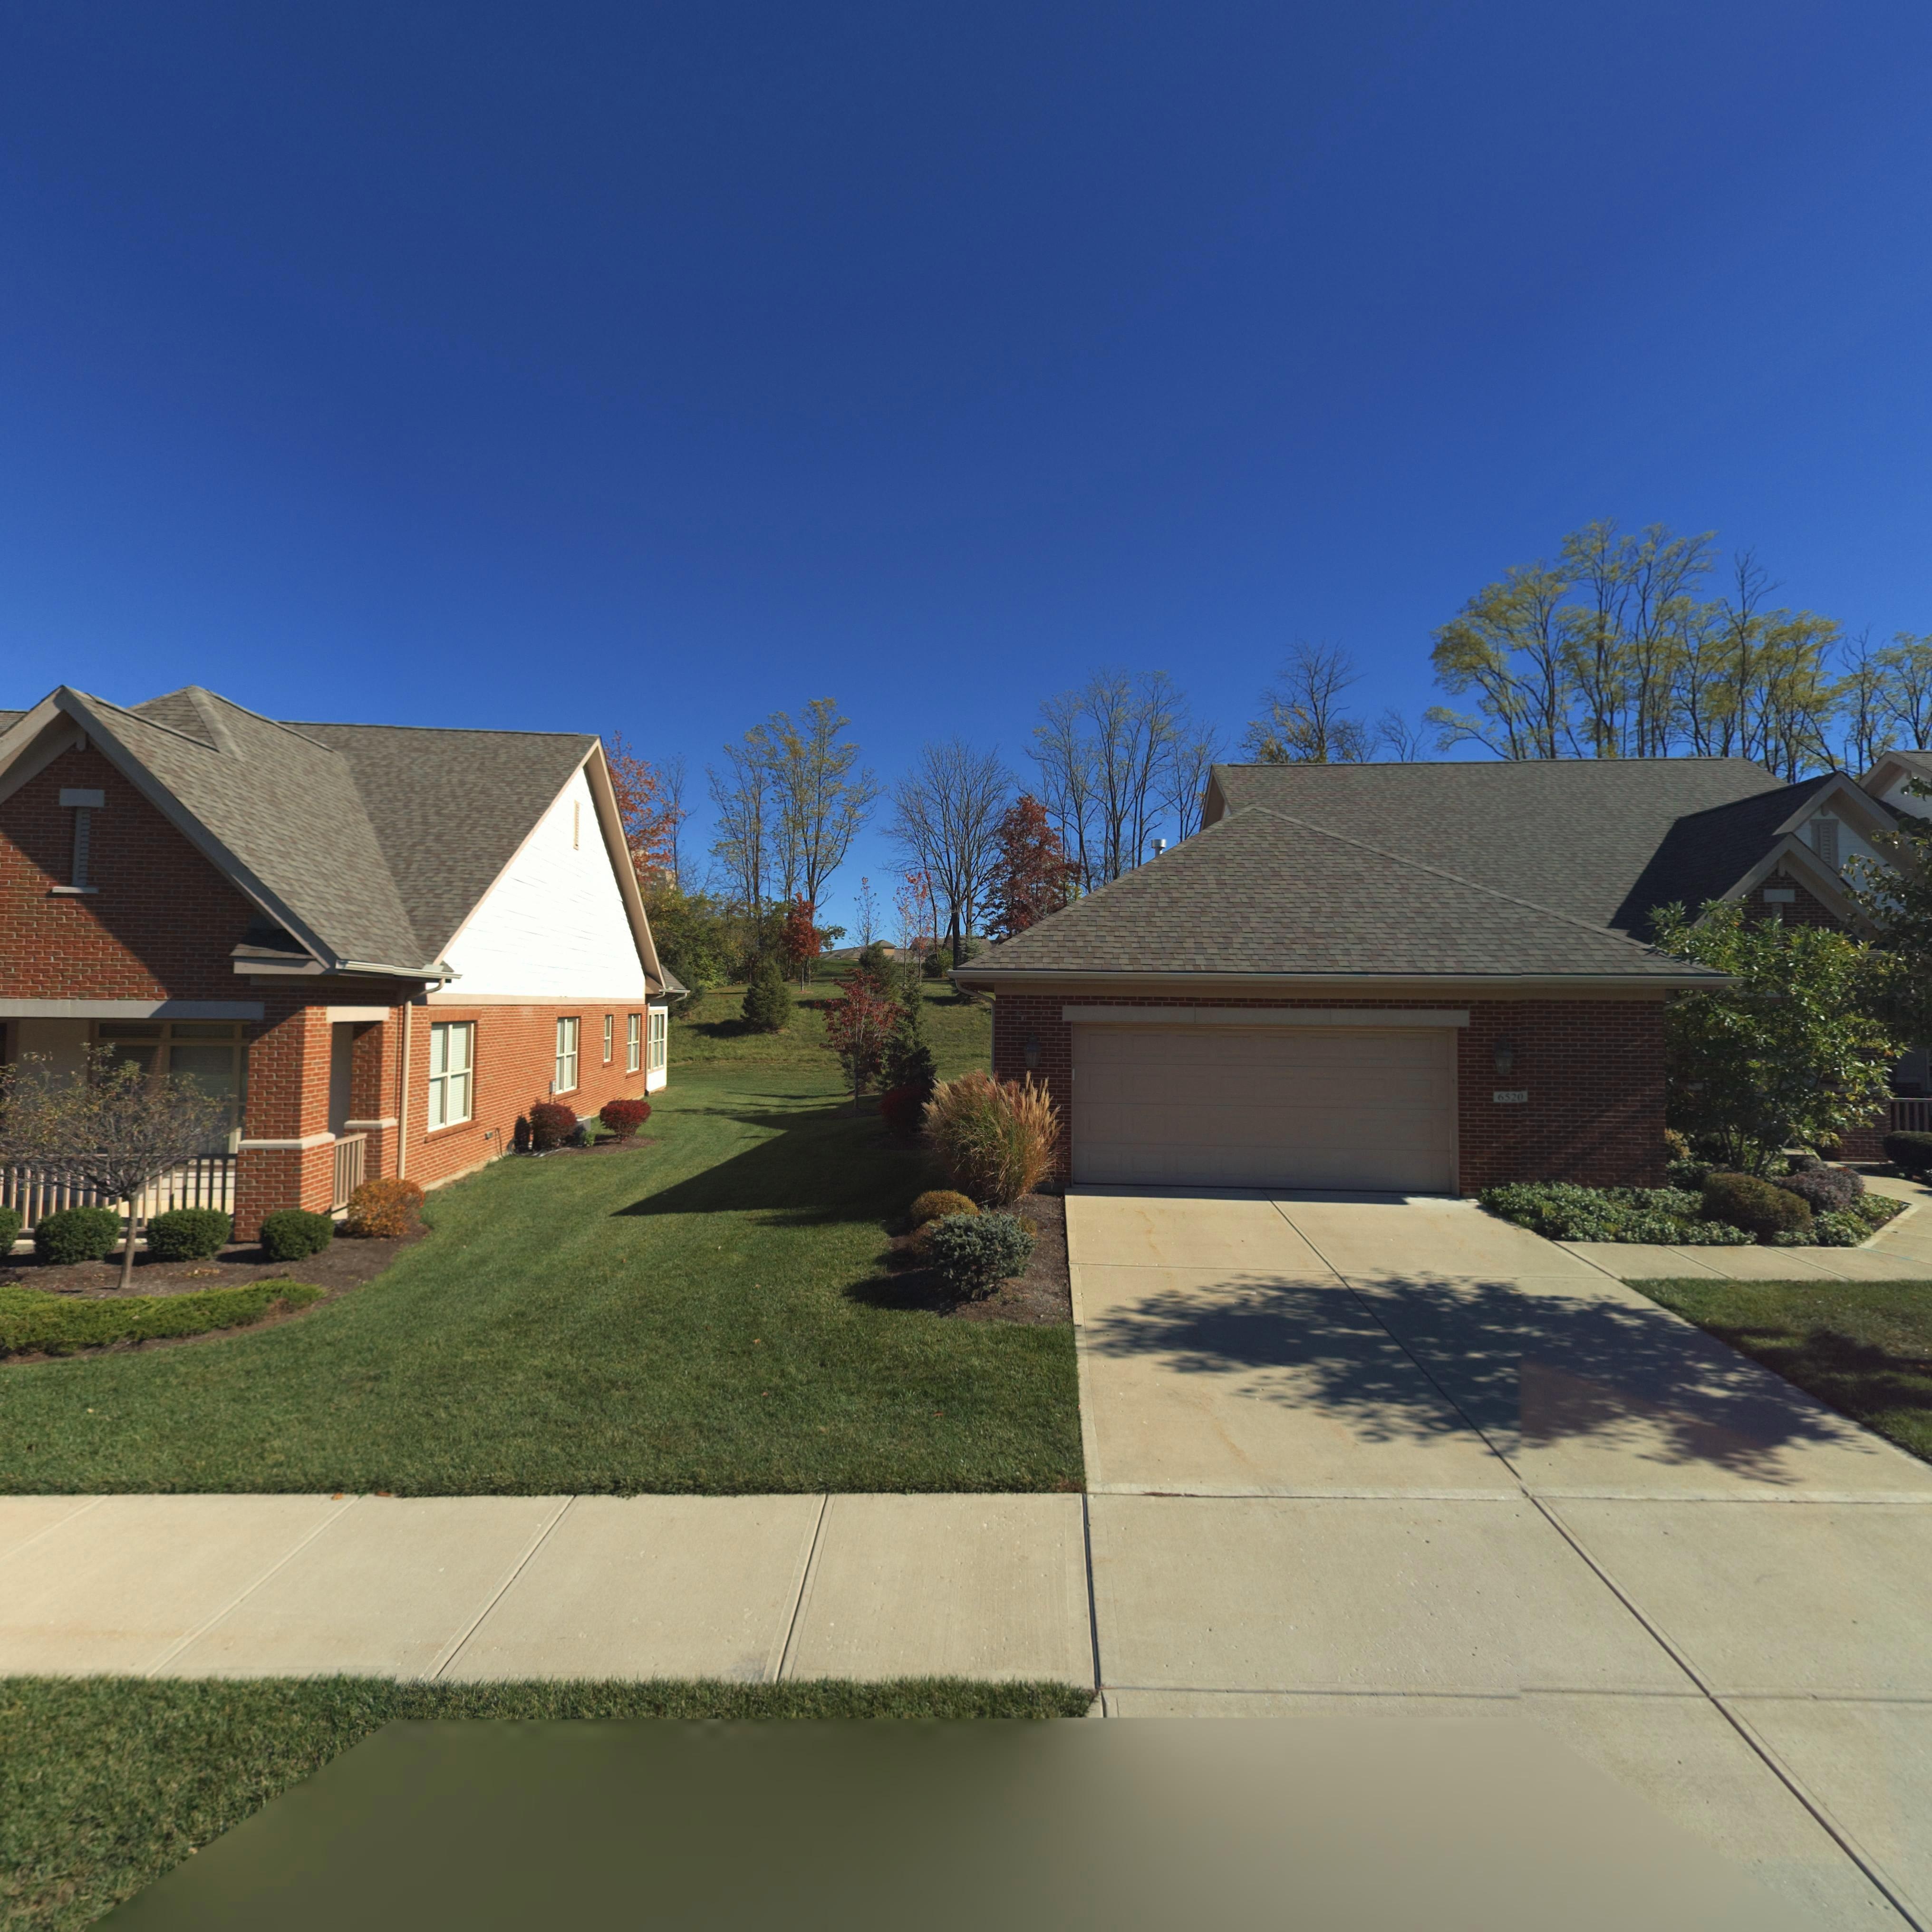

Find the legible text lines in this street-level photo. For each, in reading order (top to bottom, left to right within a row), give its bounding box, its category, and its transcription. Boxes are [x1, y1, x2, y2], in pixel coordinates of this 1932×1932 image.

[1497, 1092, 1524, 1102] StreetNumber: 6520